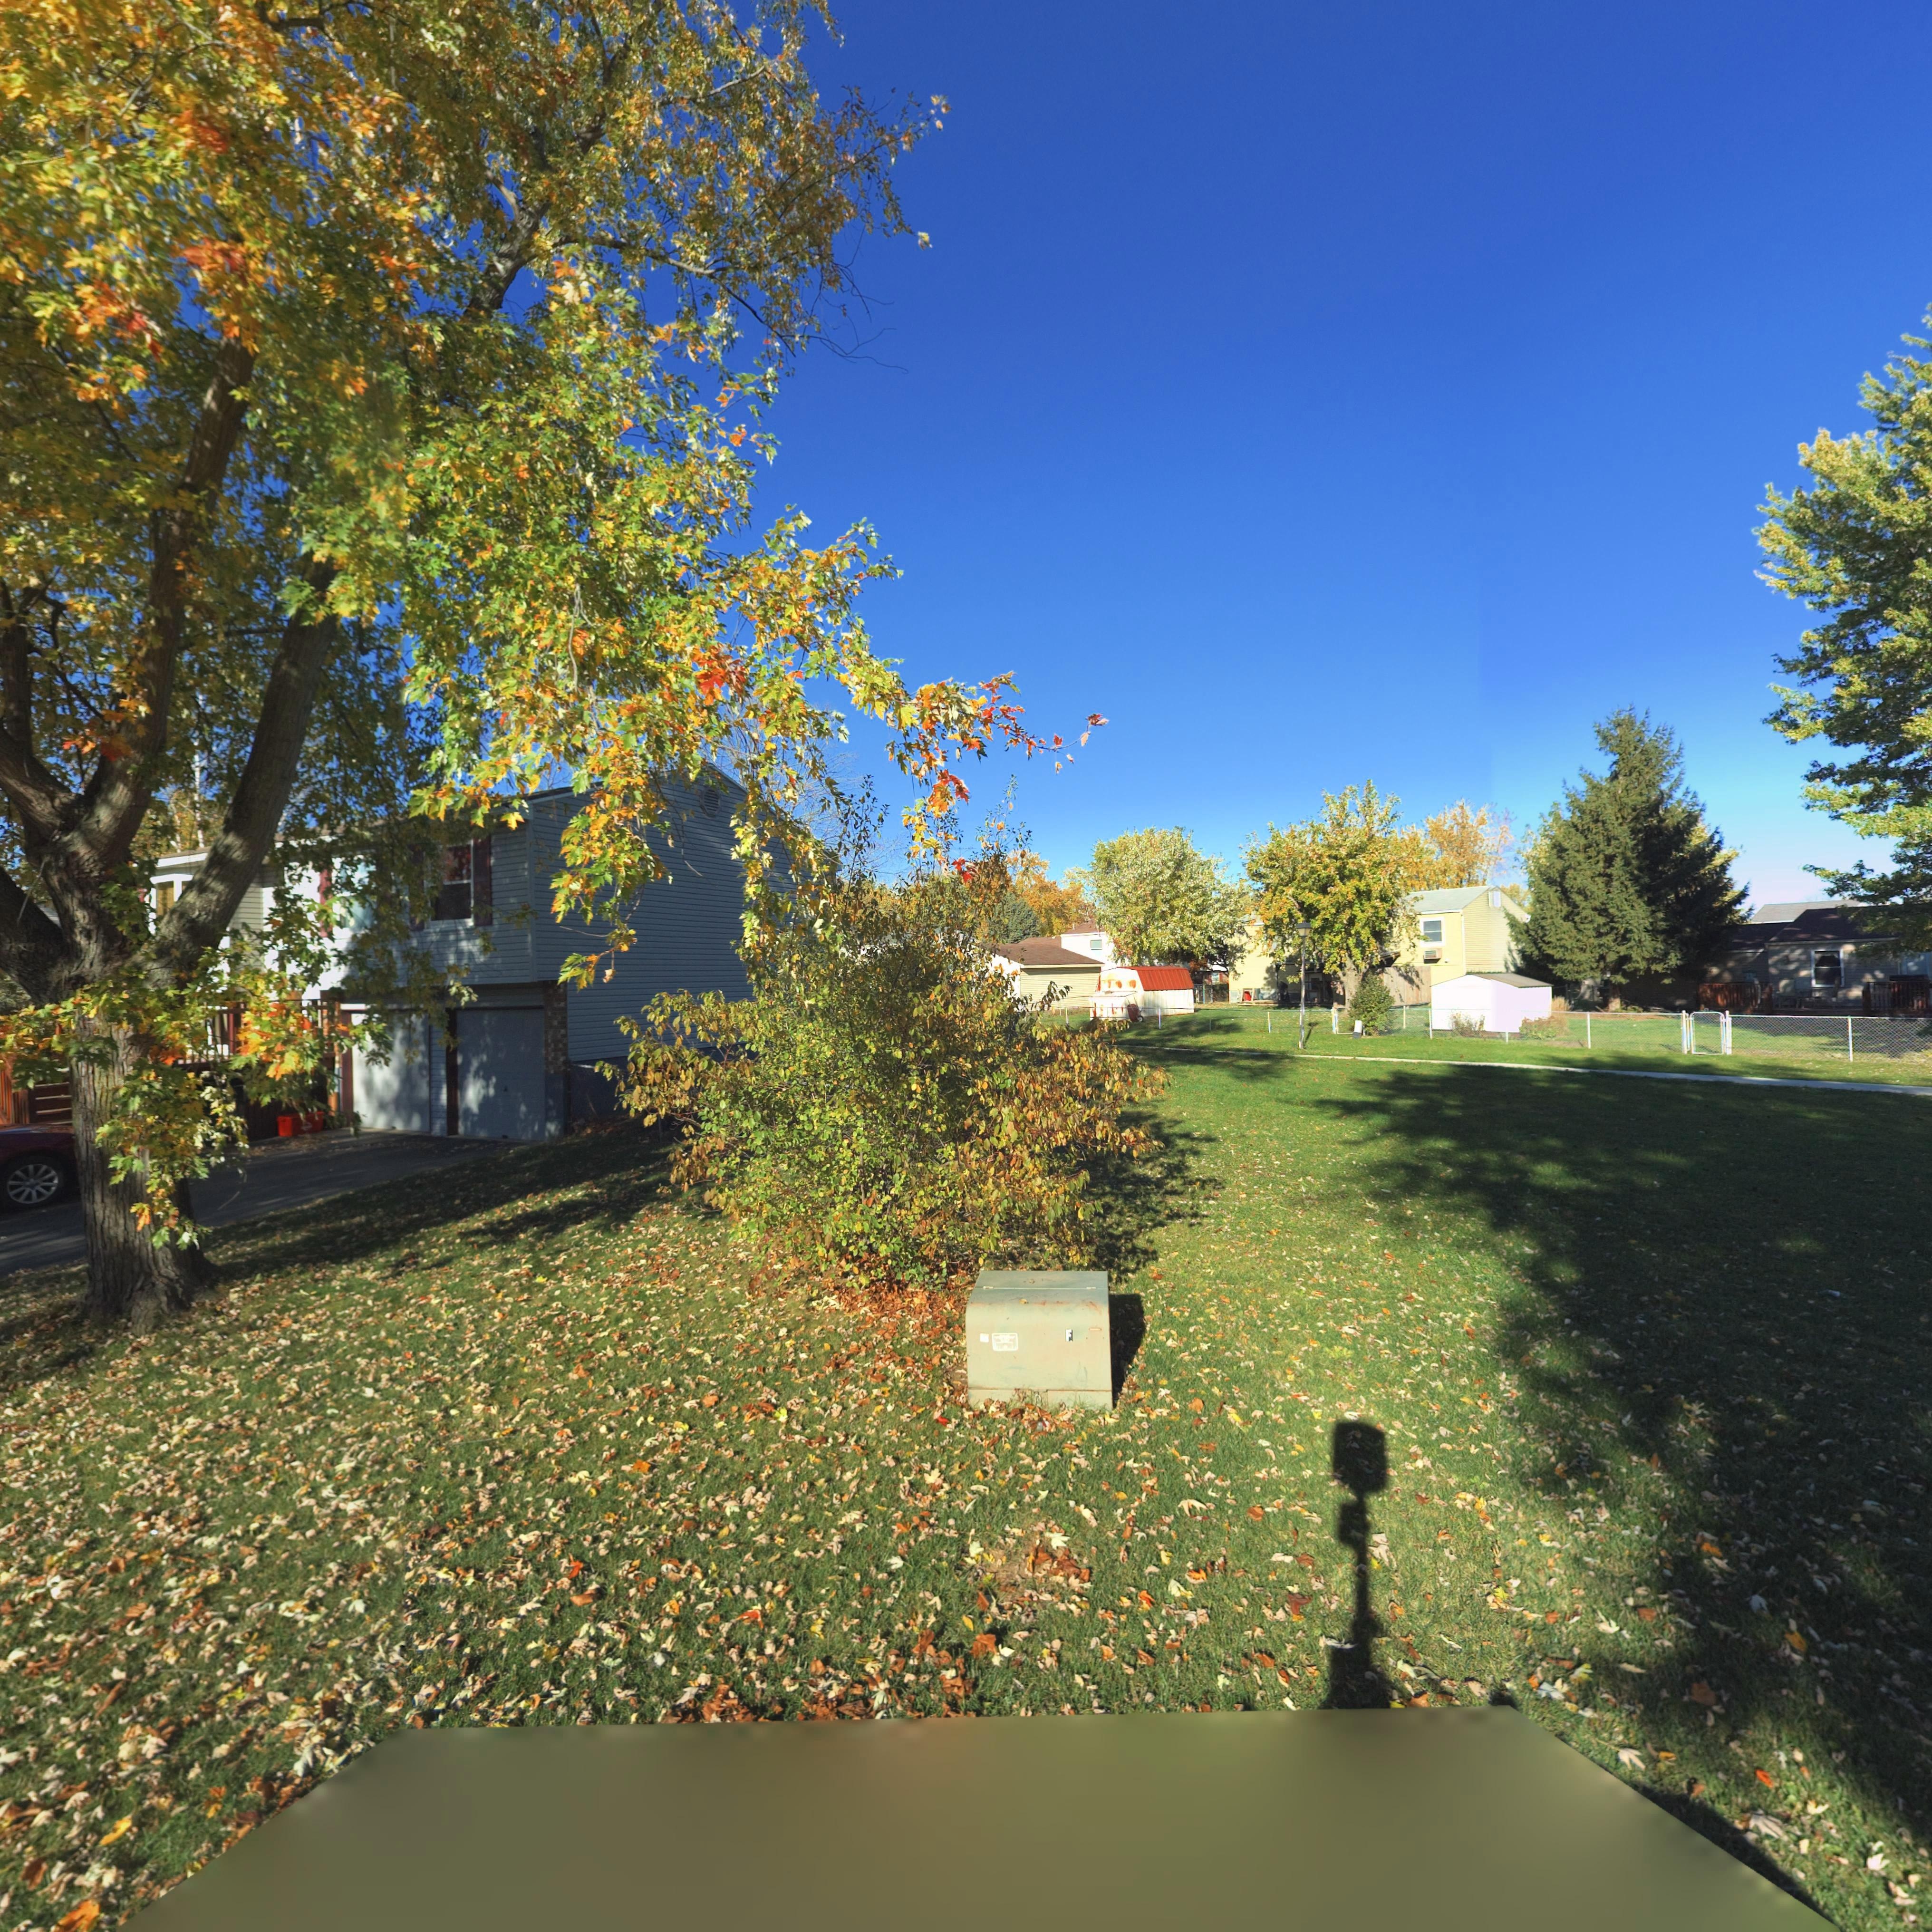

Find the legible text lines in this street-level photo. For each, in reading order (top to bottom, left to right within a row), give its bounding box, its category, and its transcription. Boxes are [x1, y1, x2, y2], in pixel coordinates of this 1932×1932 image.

[440, 993, 445, 1000] StreetNumber: 2